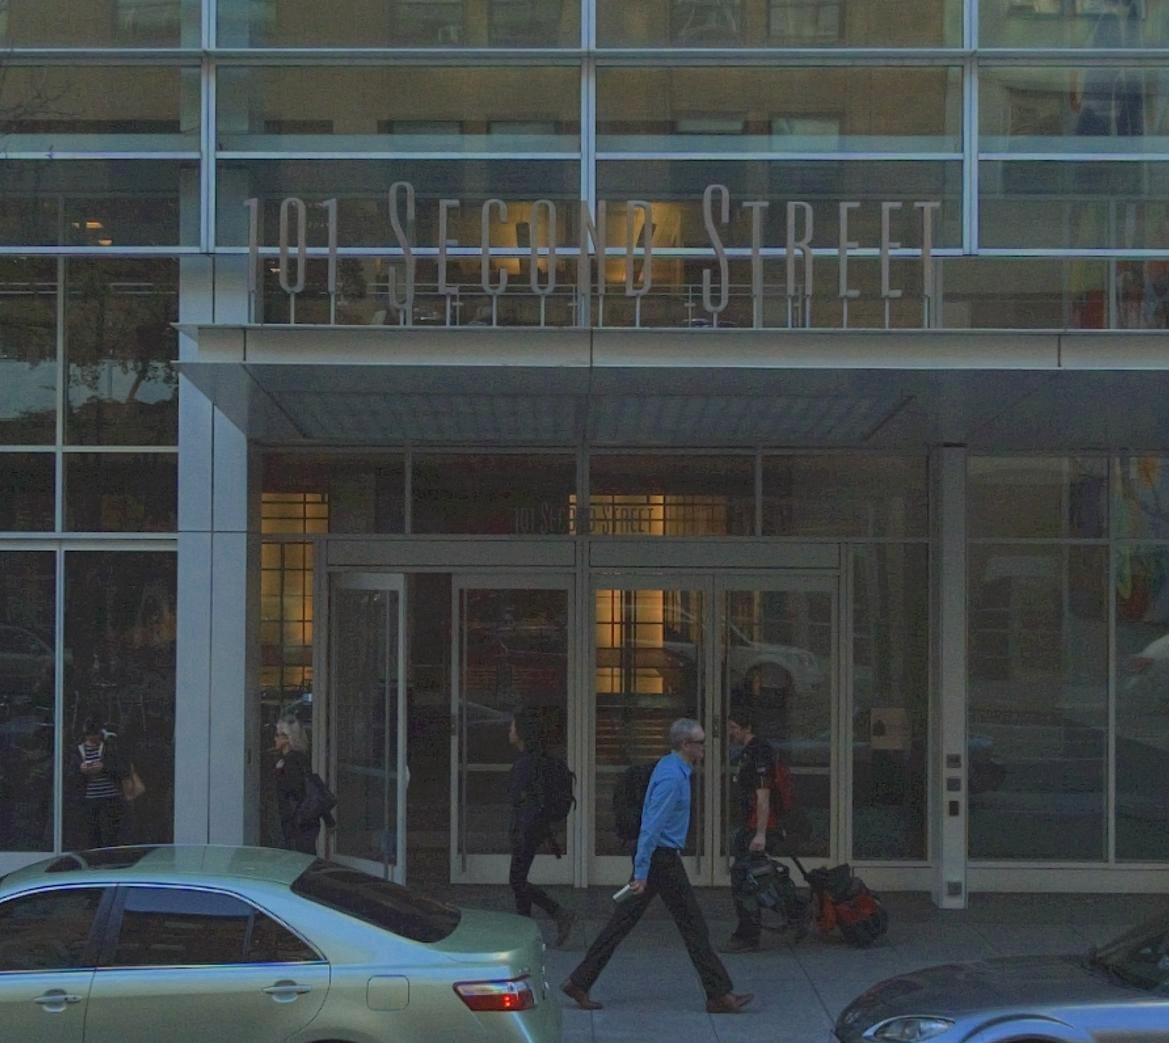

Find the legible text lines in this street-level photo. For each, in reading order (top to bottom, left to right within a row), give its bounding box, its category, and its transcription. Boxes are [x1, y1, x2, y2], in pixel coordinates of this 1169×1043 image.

[241, 196, 341, 297] StreetNumber: 101
[385, 179, 946, 315] StreetName: 101 SECOND STREET
[511, 506, 537, 536] StreetNumber: 101
[538, 500, 655, 535] StreetName: 101 SECOND STREET